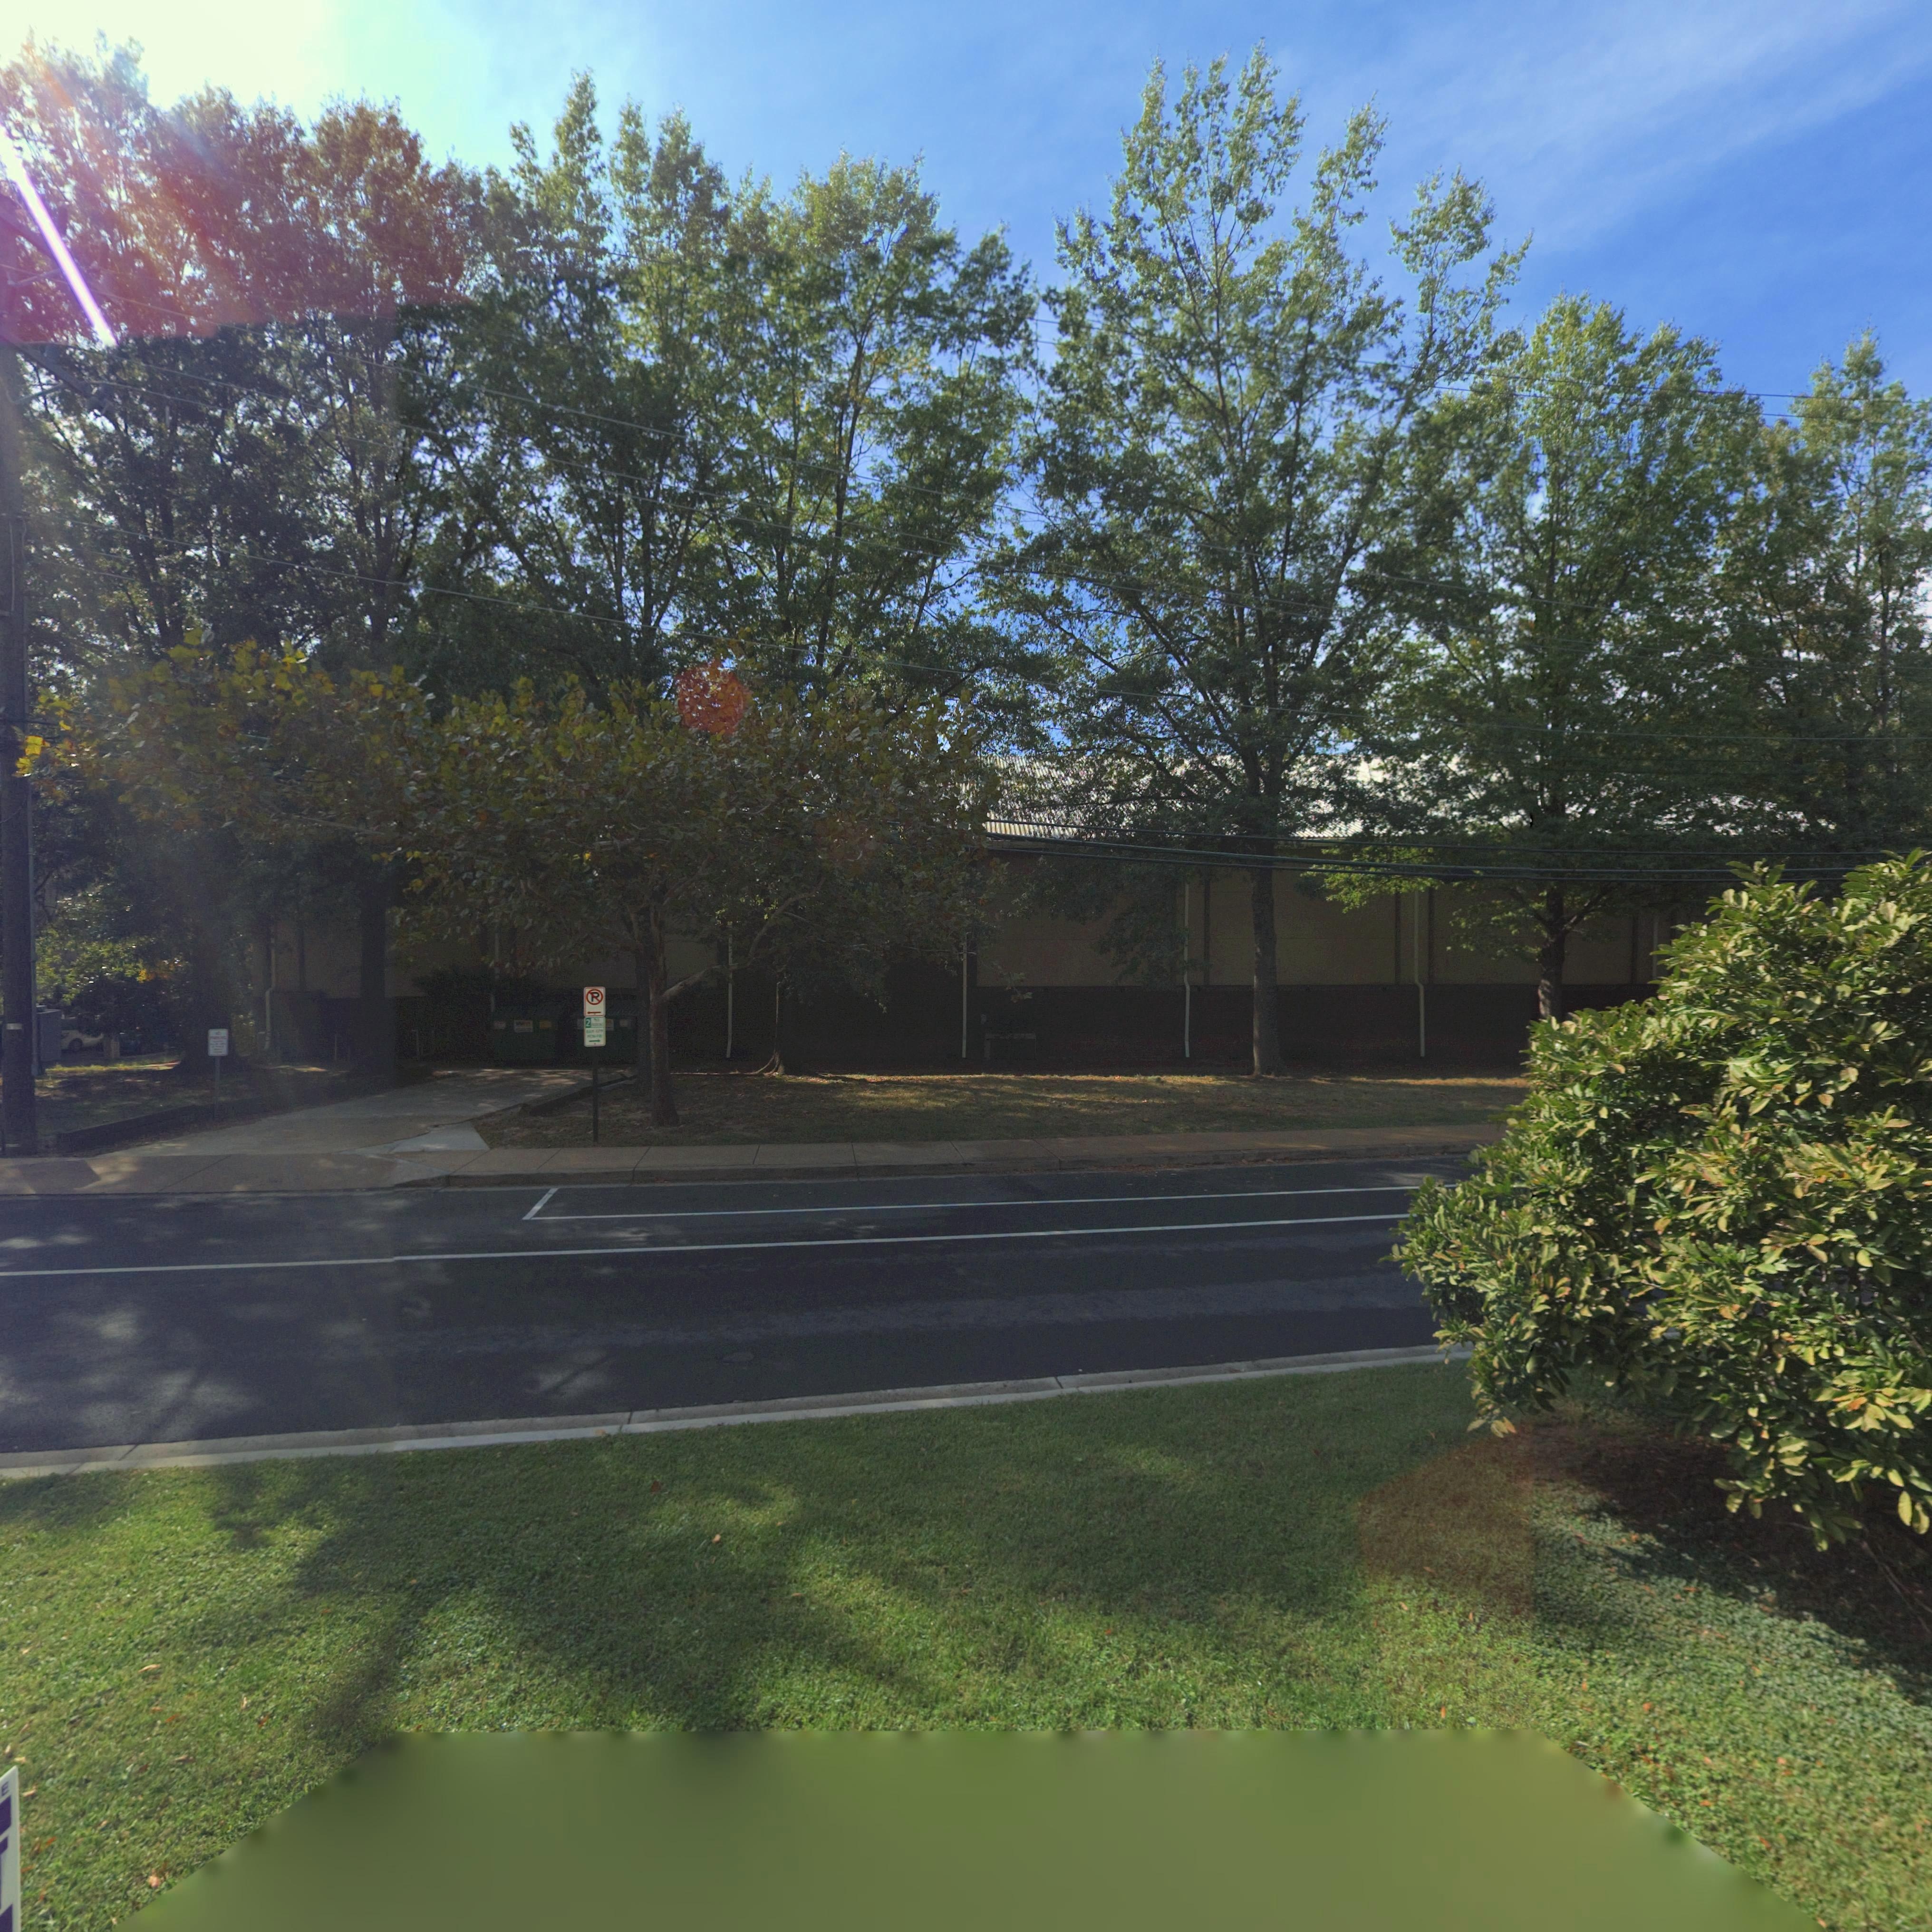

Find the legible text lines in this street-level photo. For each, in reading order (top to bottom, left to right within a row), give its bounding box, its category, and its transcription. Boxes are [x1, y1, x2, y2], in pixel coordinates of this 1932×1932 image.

[515, 1021, 531, 1027] None: WM
[585, 1018, 591, 1027] None: 2
[586, 1034, 603, 1039] None: MON-FRI